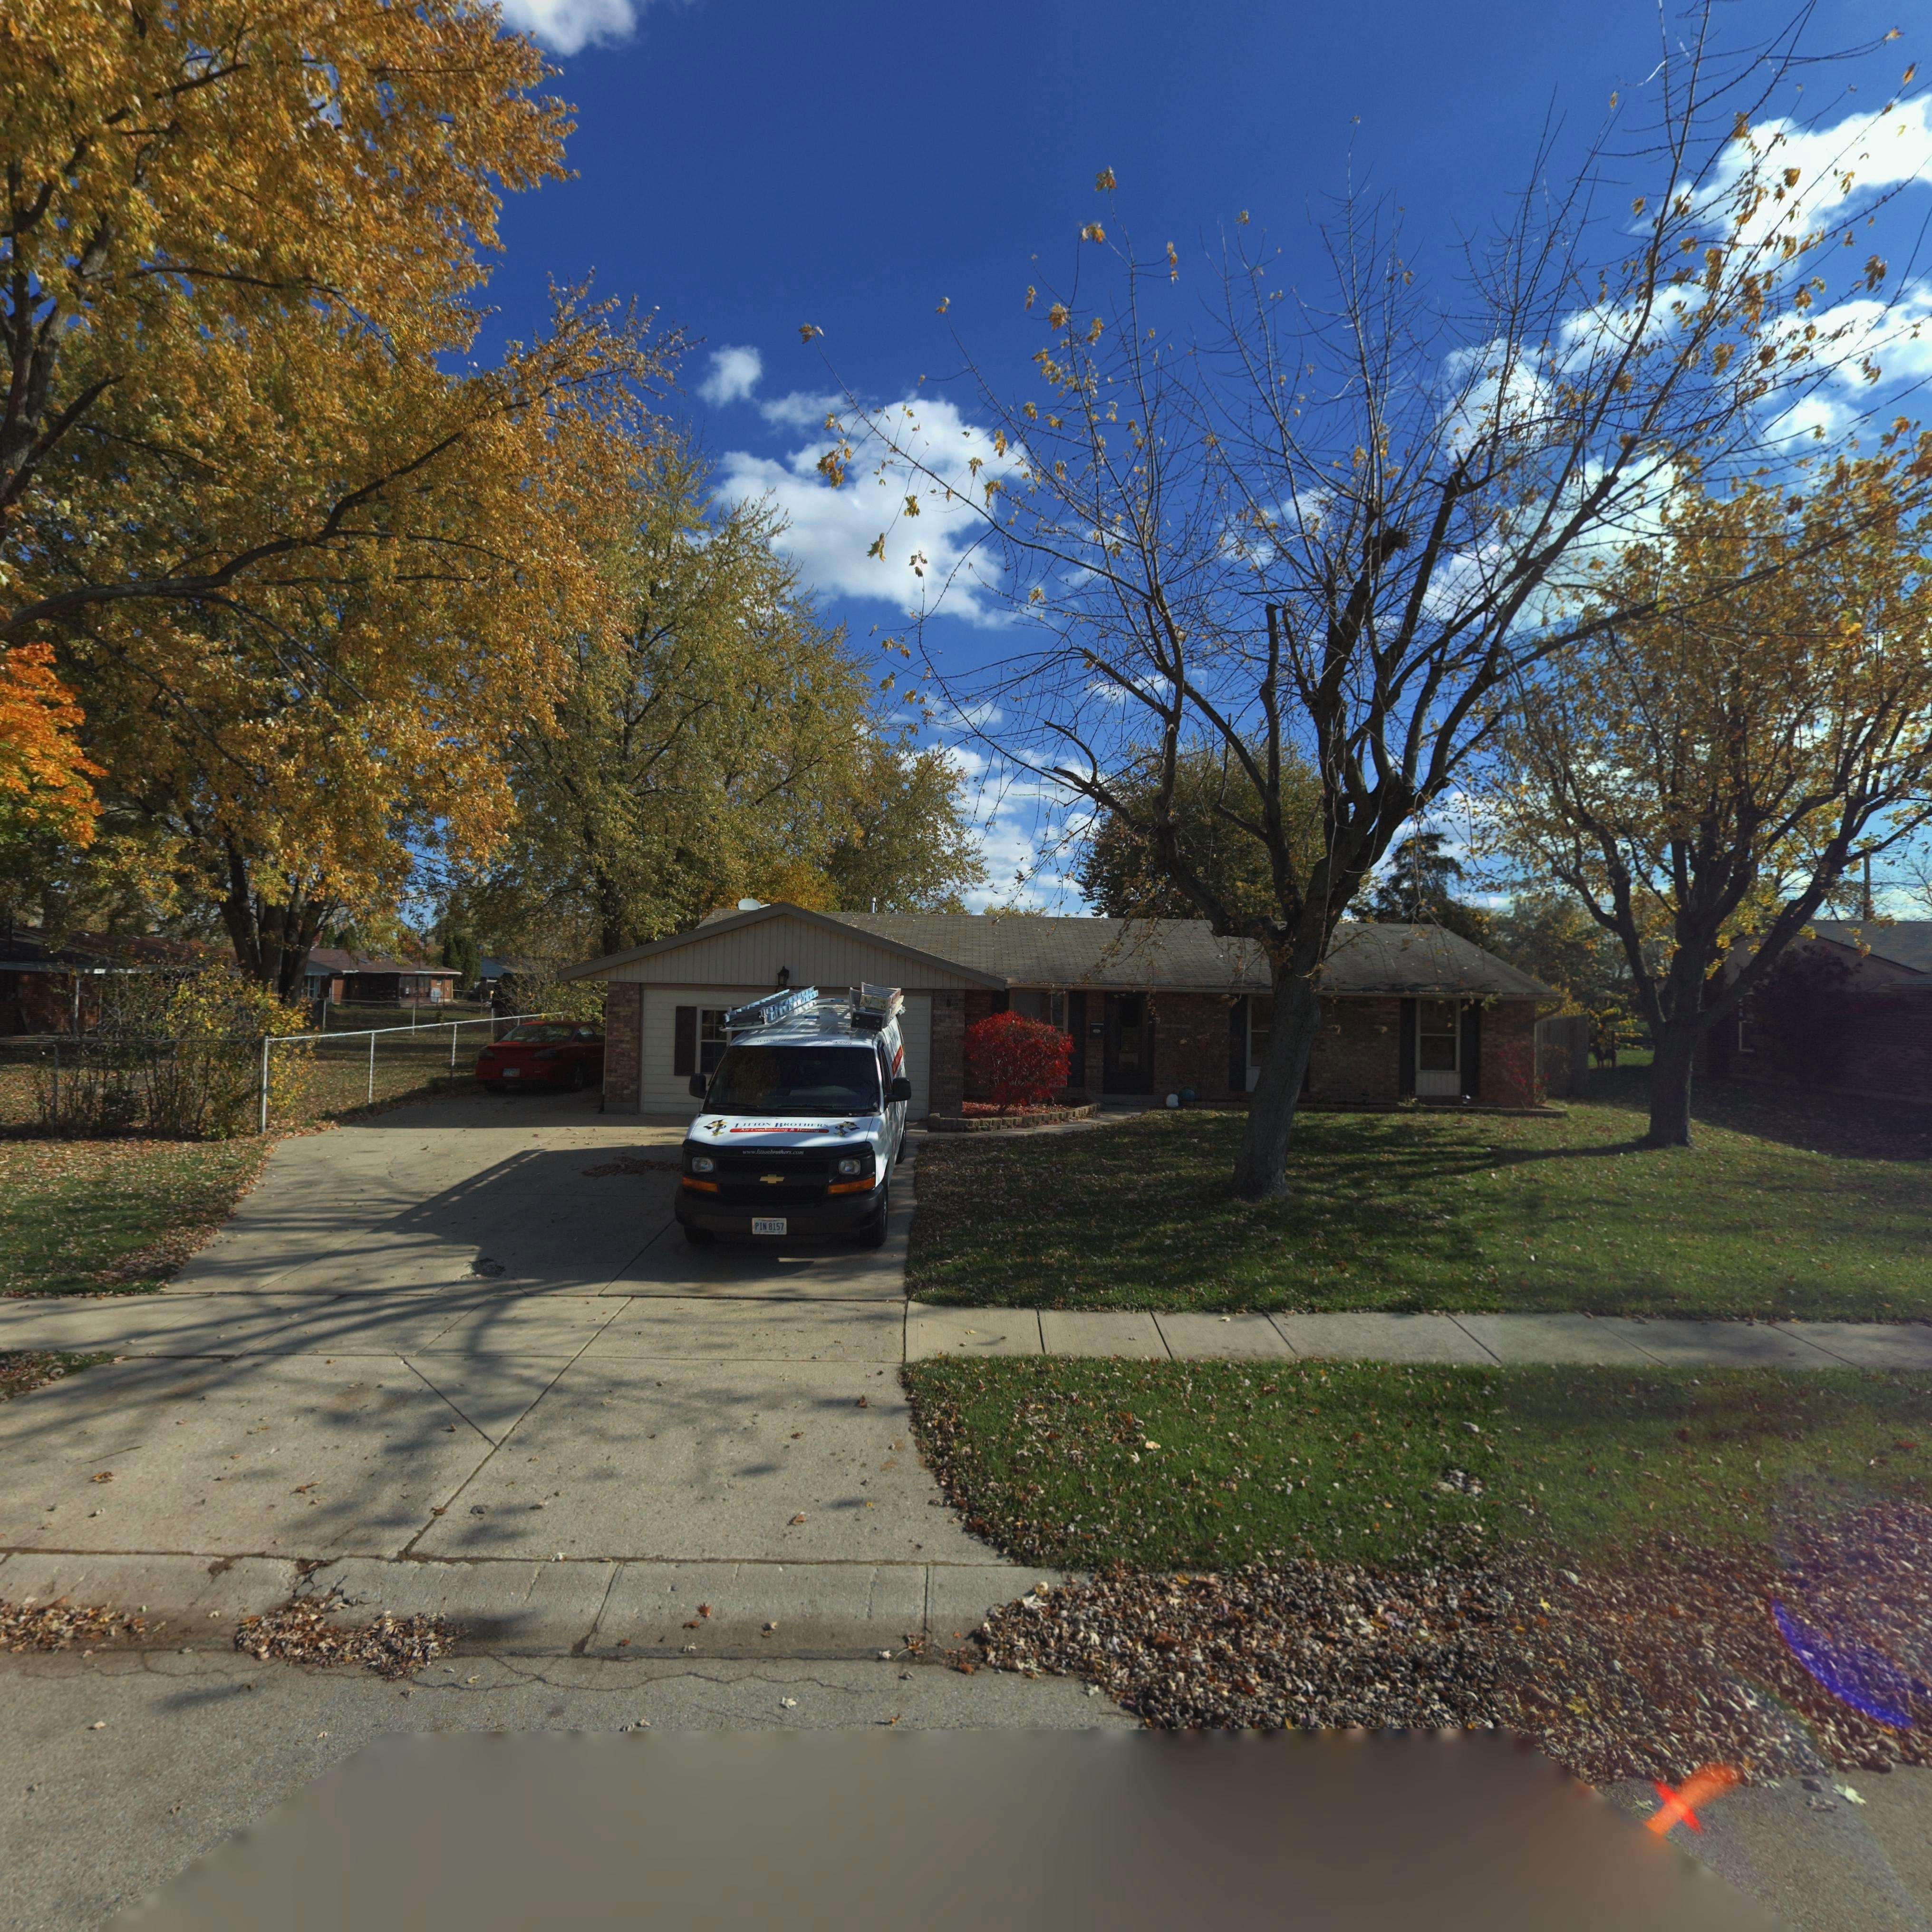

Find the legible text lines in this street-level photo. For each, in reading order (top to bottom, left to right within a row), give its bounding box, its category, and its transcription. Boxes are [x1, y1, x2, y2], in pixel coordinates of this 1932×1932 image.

[773, 985, 781, 994] StreetNumber: 7